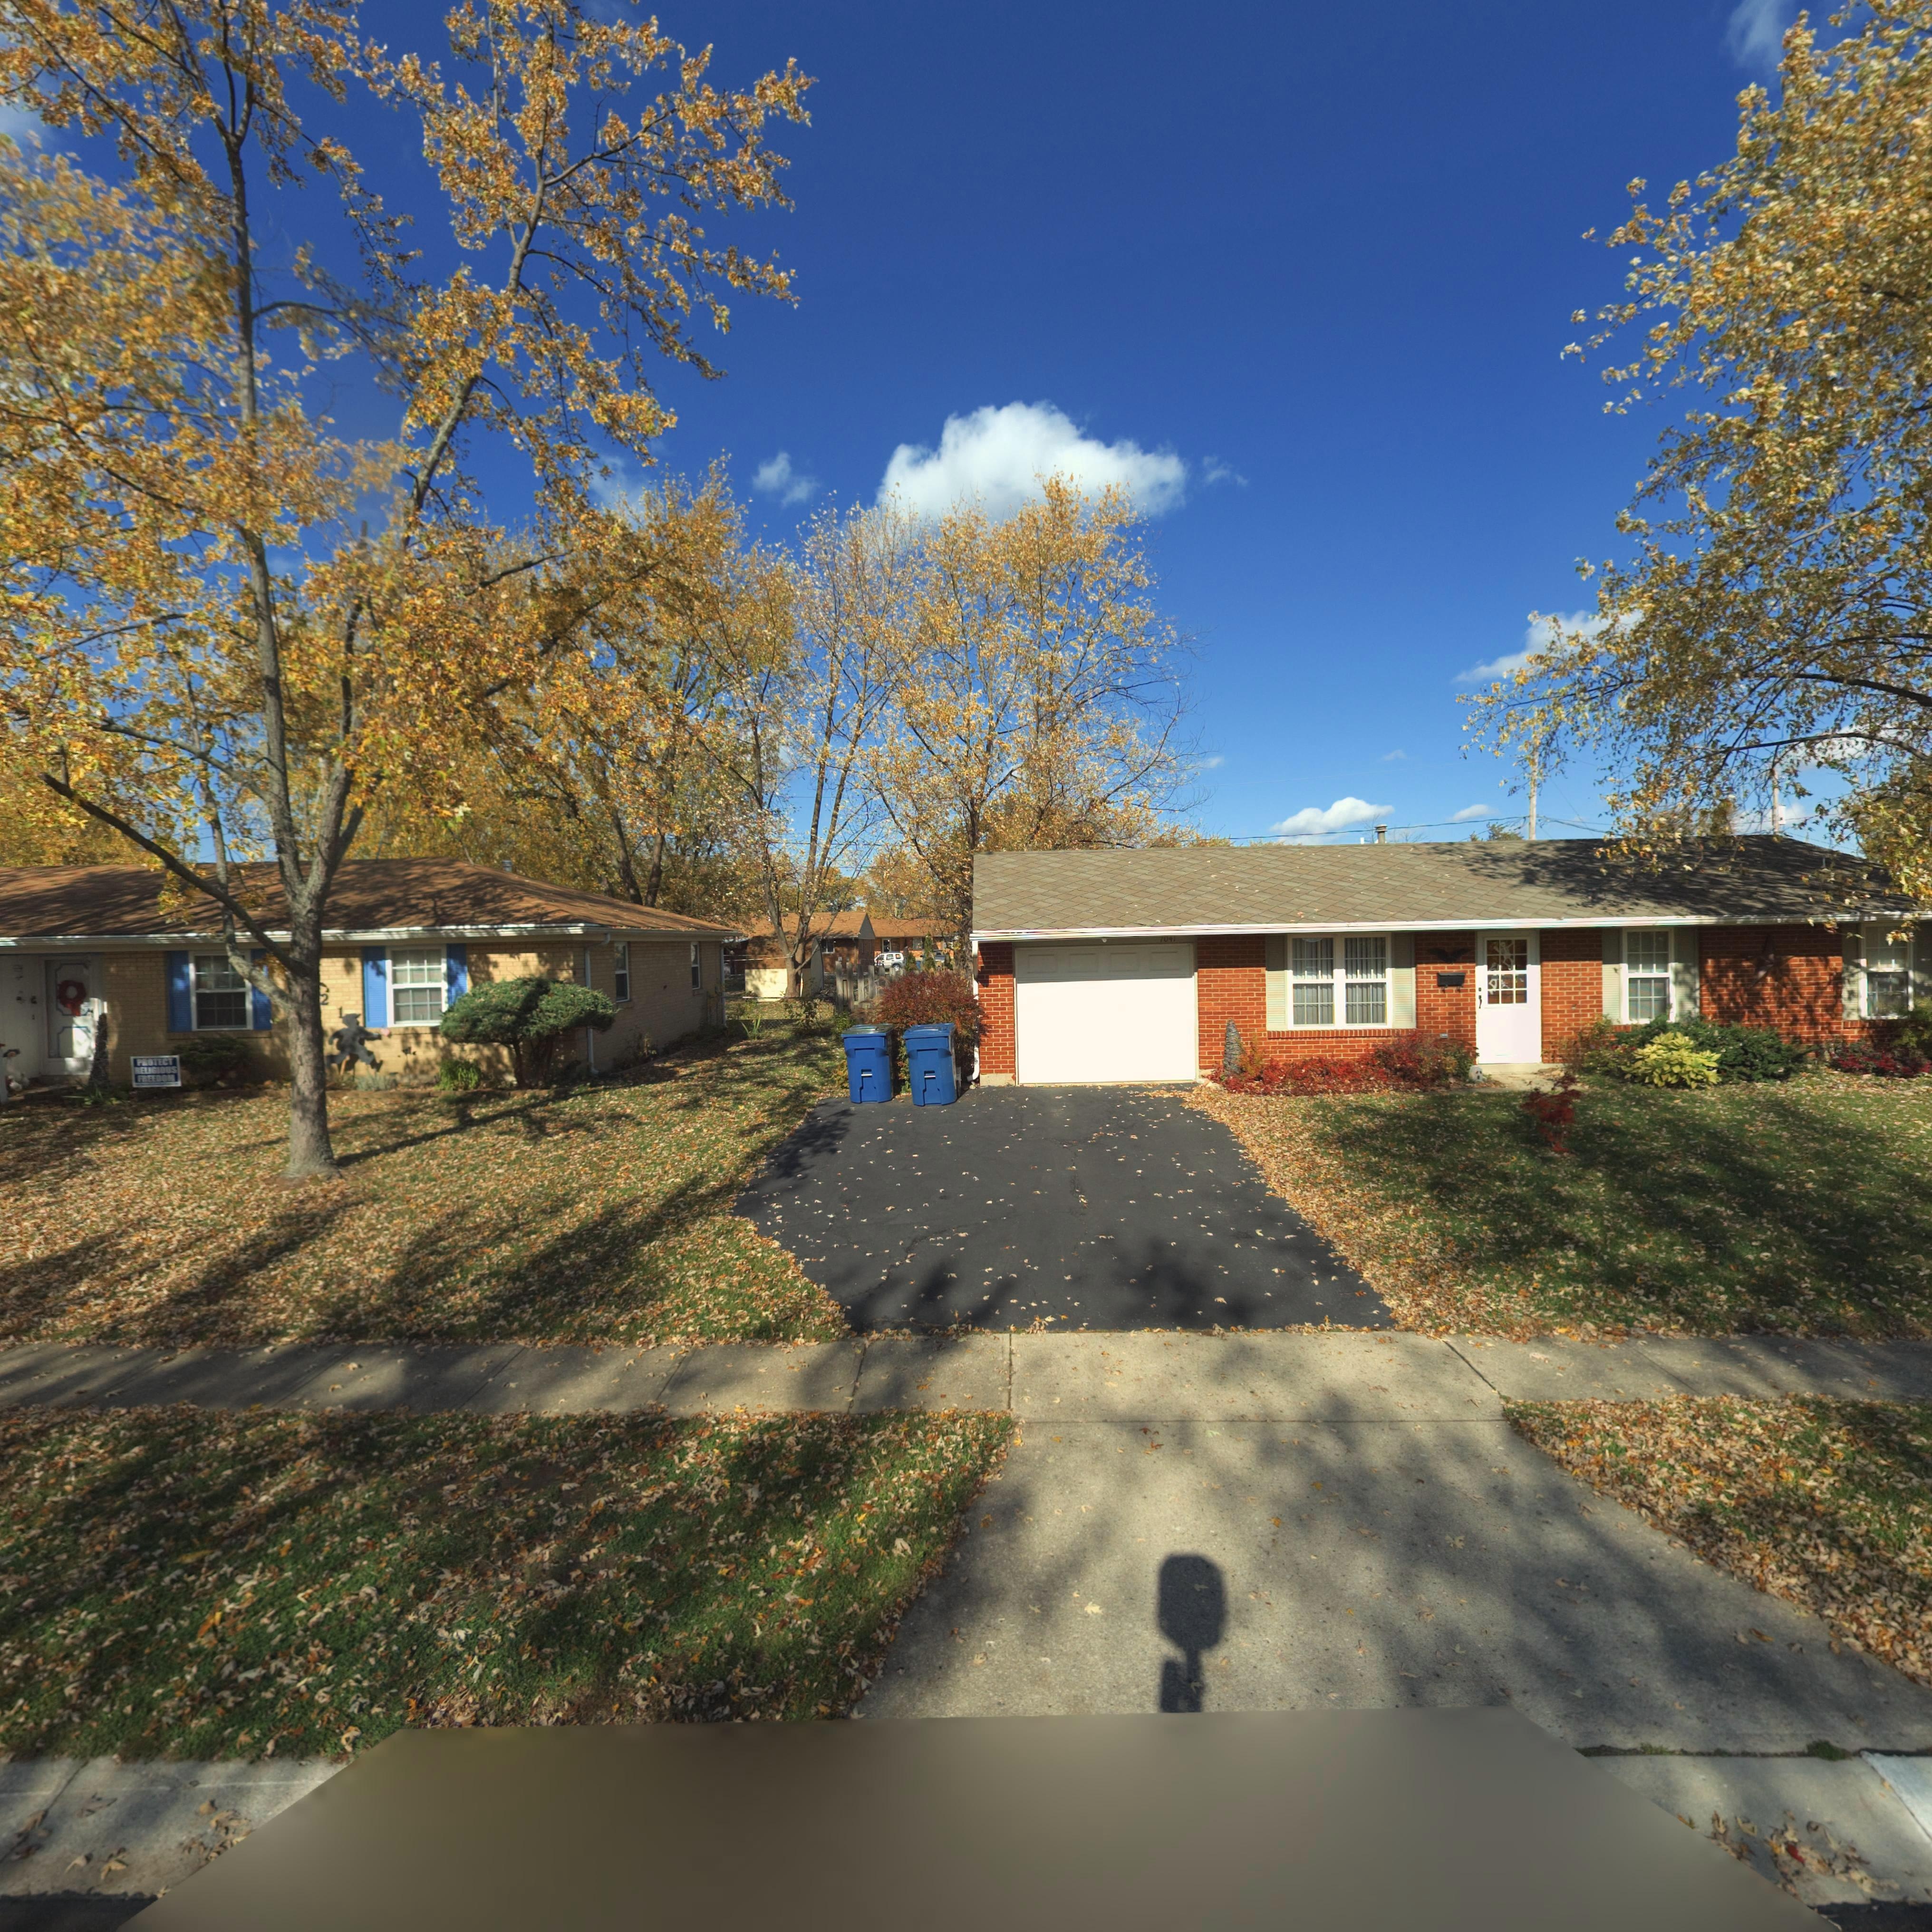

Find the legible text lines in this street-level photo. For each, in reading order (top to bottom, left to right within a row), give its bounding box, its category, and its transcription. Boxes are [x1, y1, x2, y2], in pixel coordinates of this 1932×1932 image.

[319, 992, 345, 1020] StreetNumber: 21